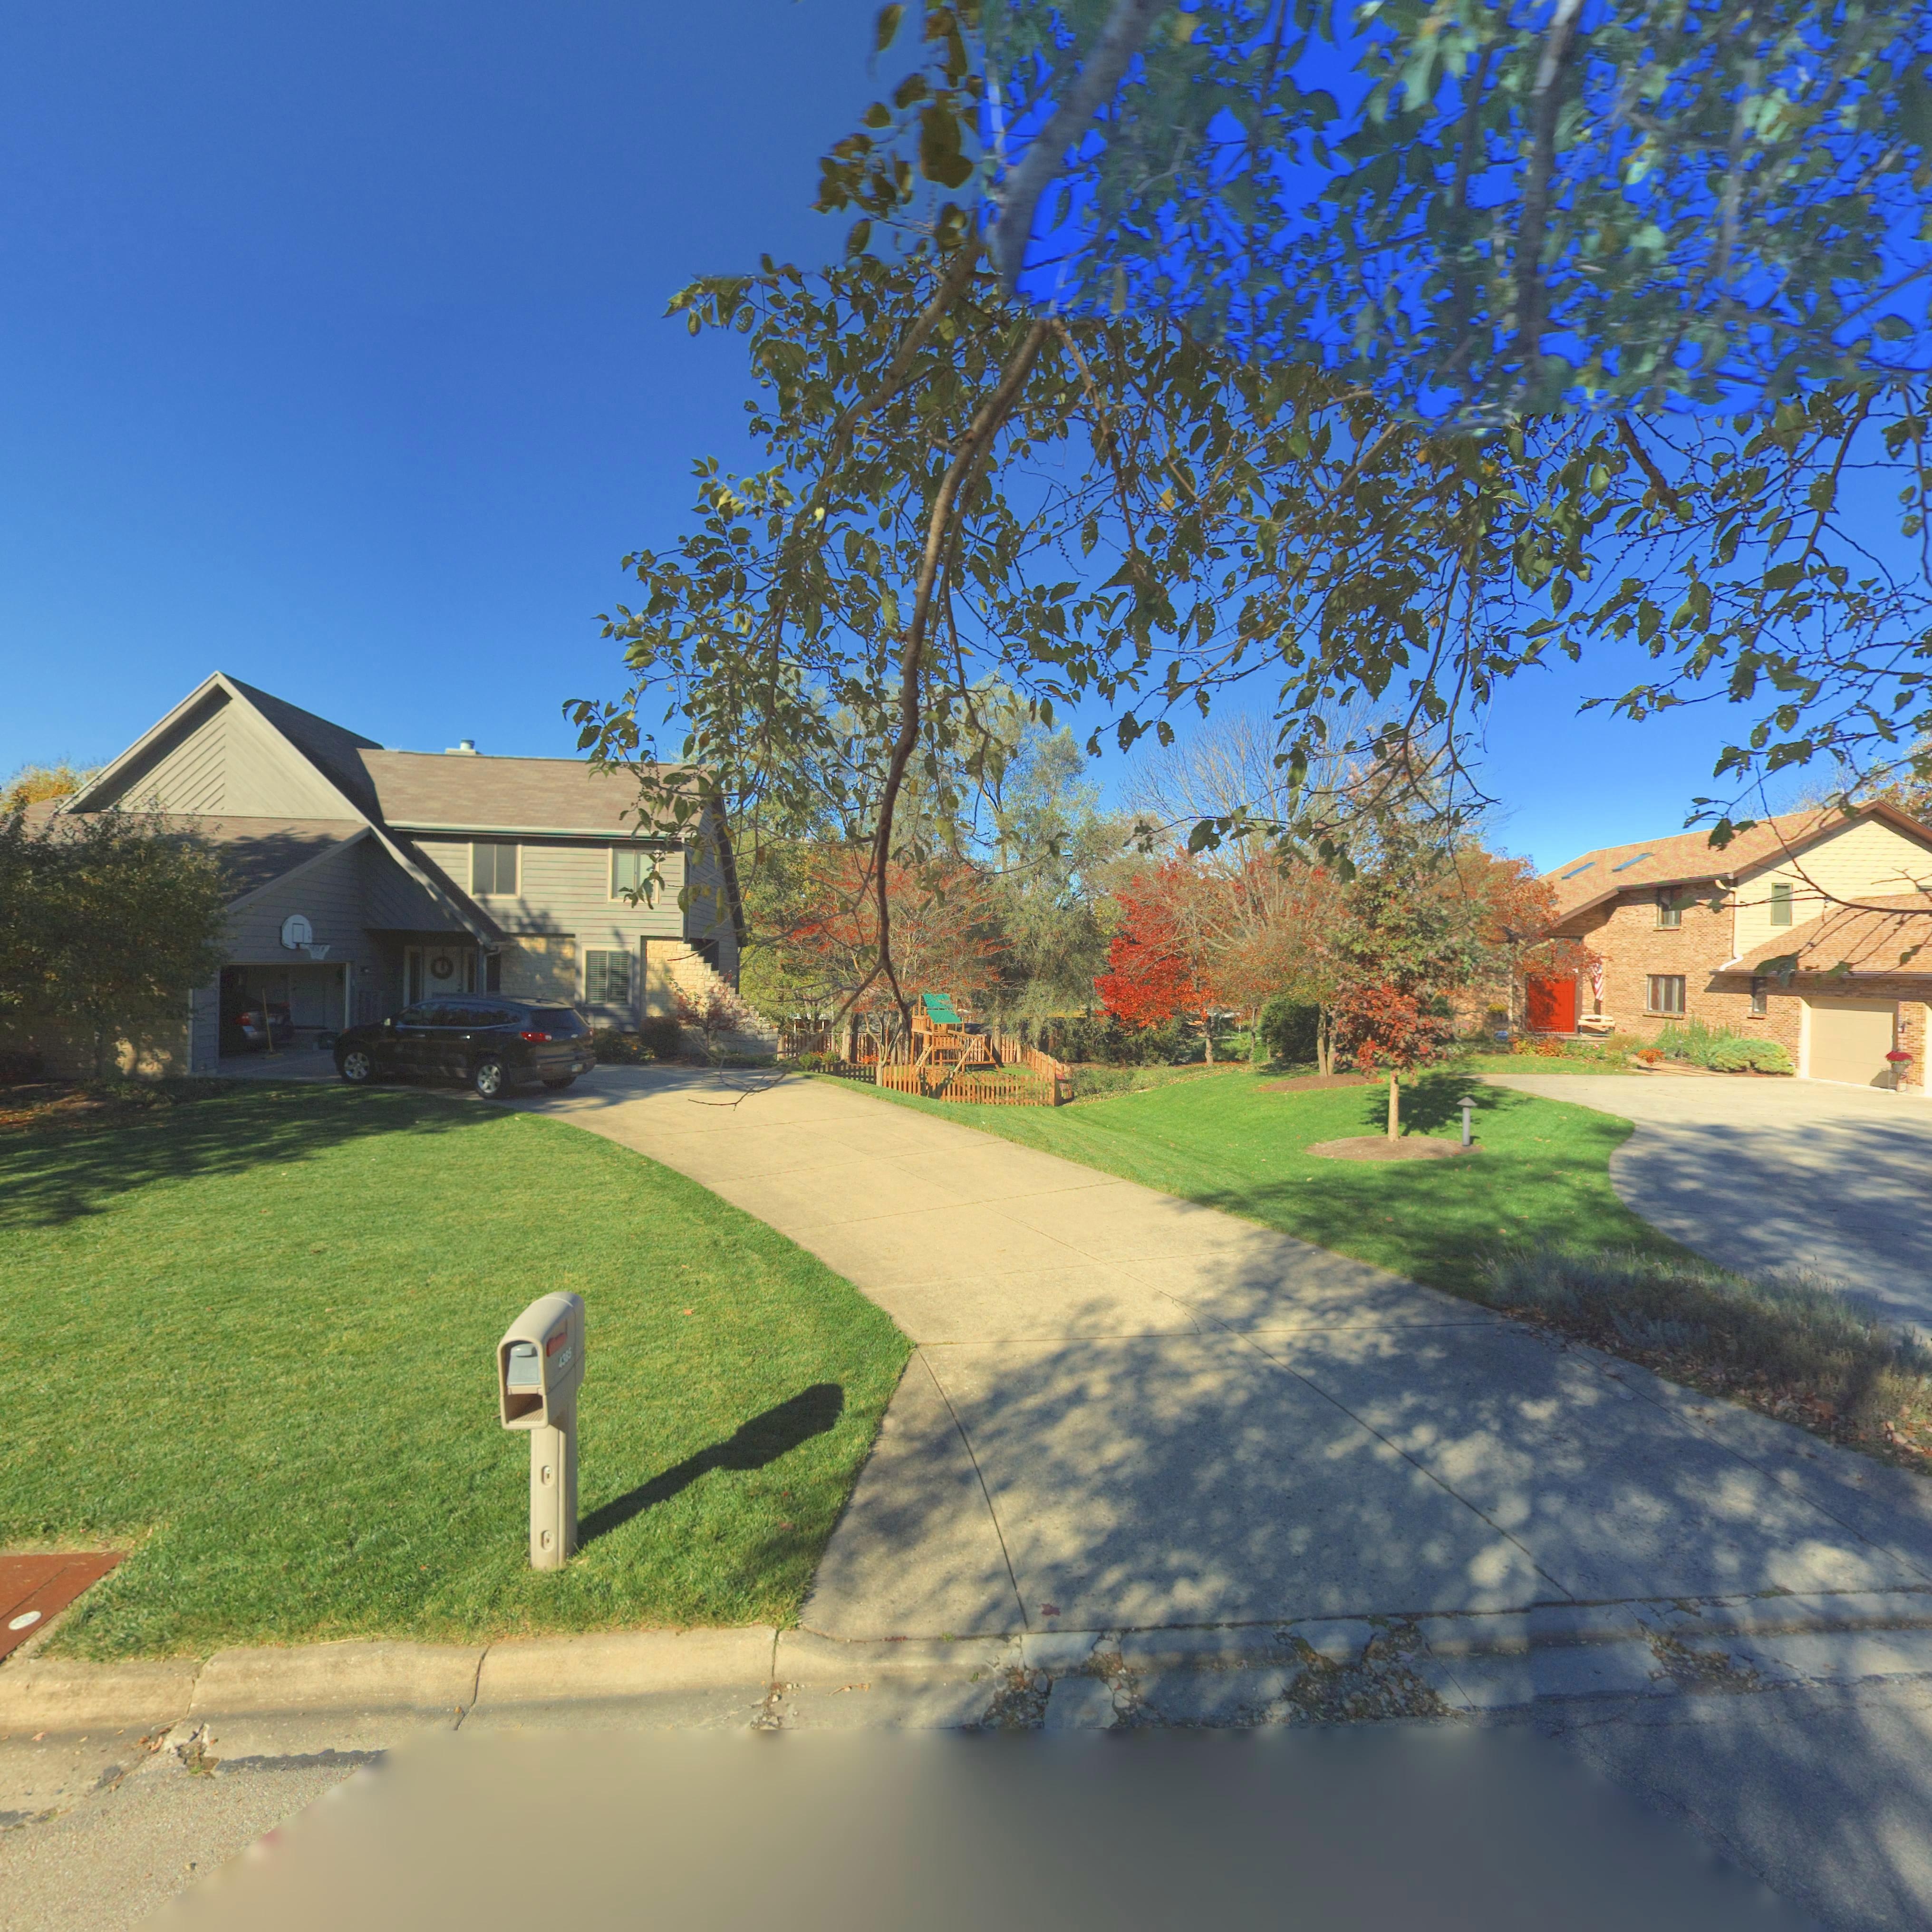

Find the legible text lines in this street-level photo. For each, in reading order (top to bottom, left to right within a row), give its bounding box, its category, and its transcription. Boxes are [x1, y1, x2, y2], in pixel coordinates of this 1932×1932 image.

[559, 1345, 572, 1370] StreetNumber: 4385